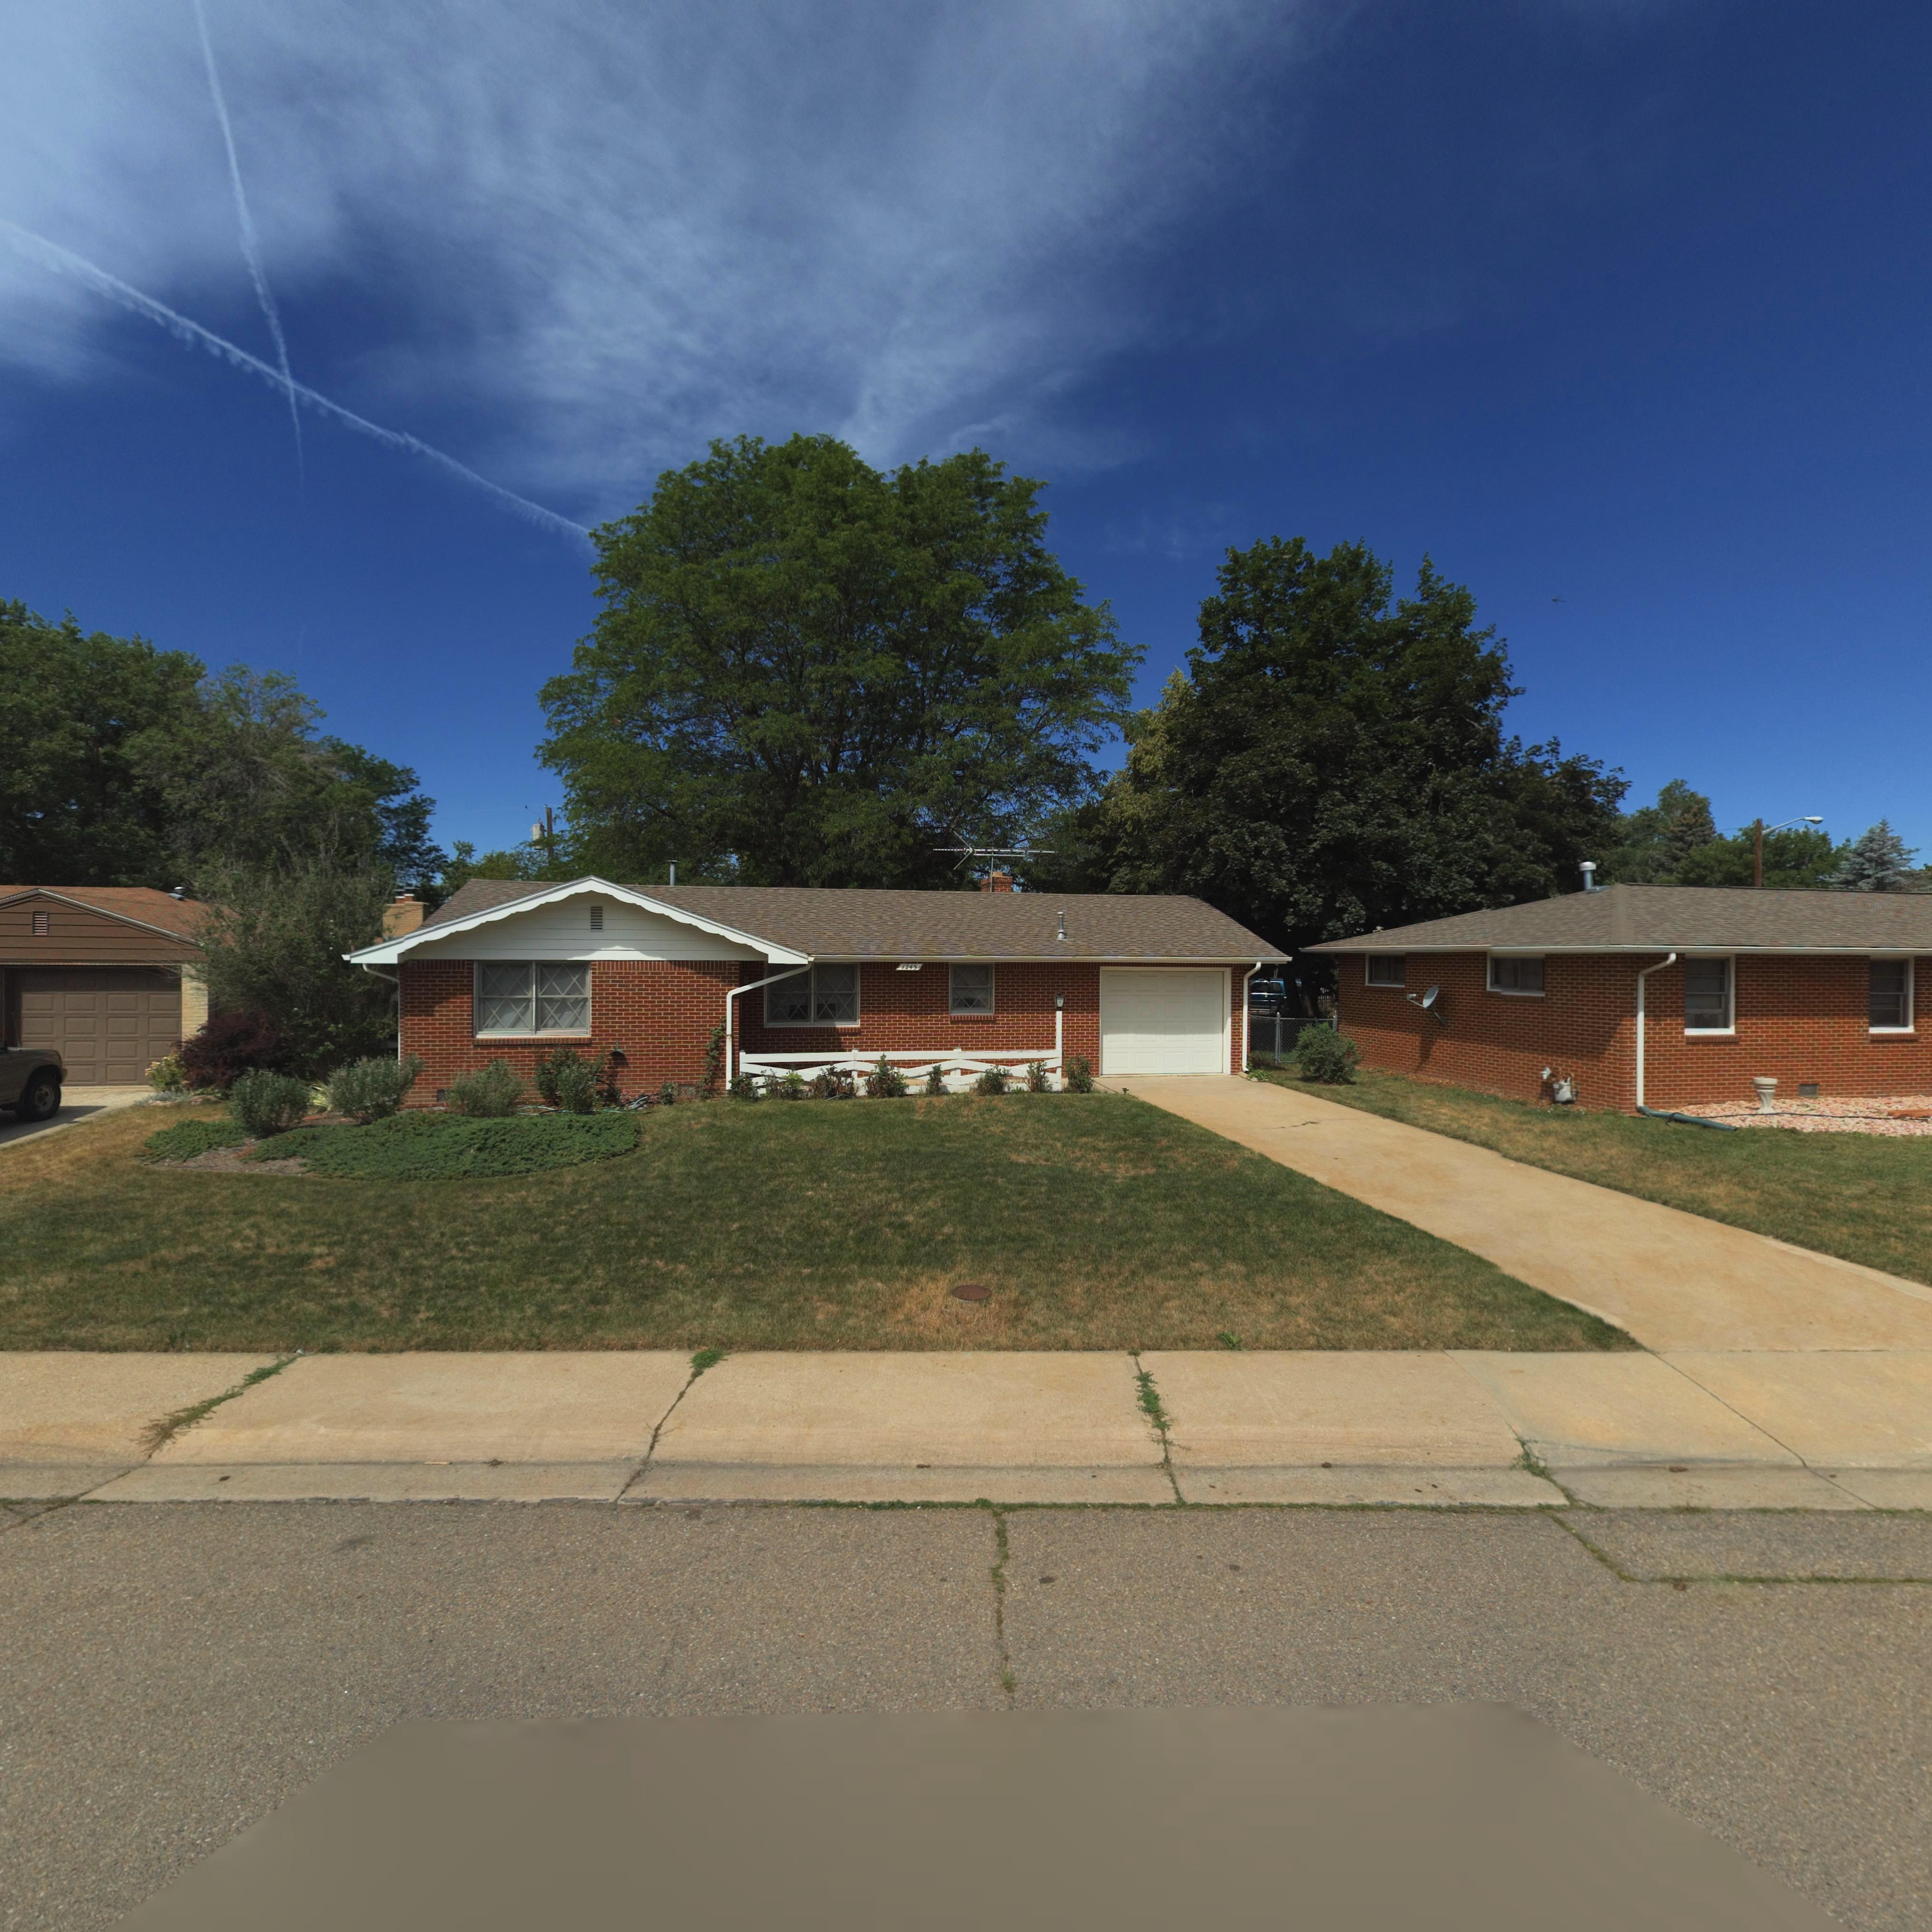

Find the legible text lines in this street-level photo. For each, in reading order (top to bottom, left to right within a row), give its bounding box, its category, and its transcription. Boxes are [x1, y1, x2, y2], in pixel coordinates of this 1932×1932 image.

[901, 964, 917, 970] StreetNumber: 1245